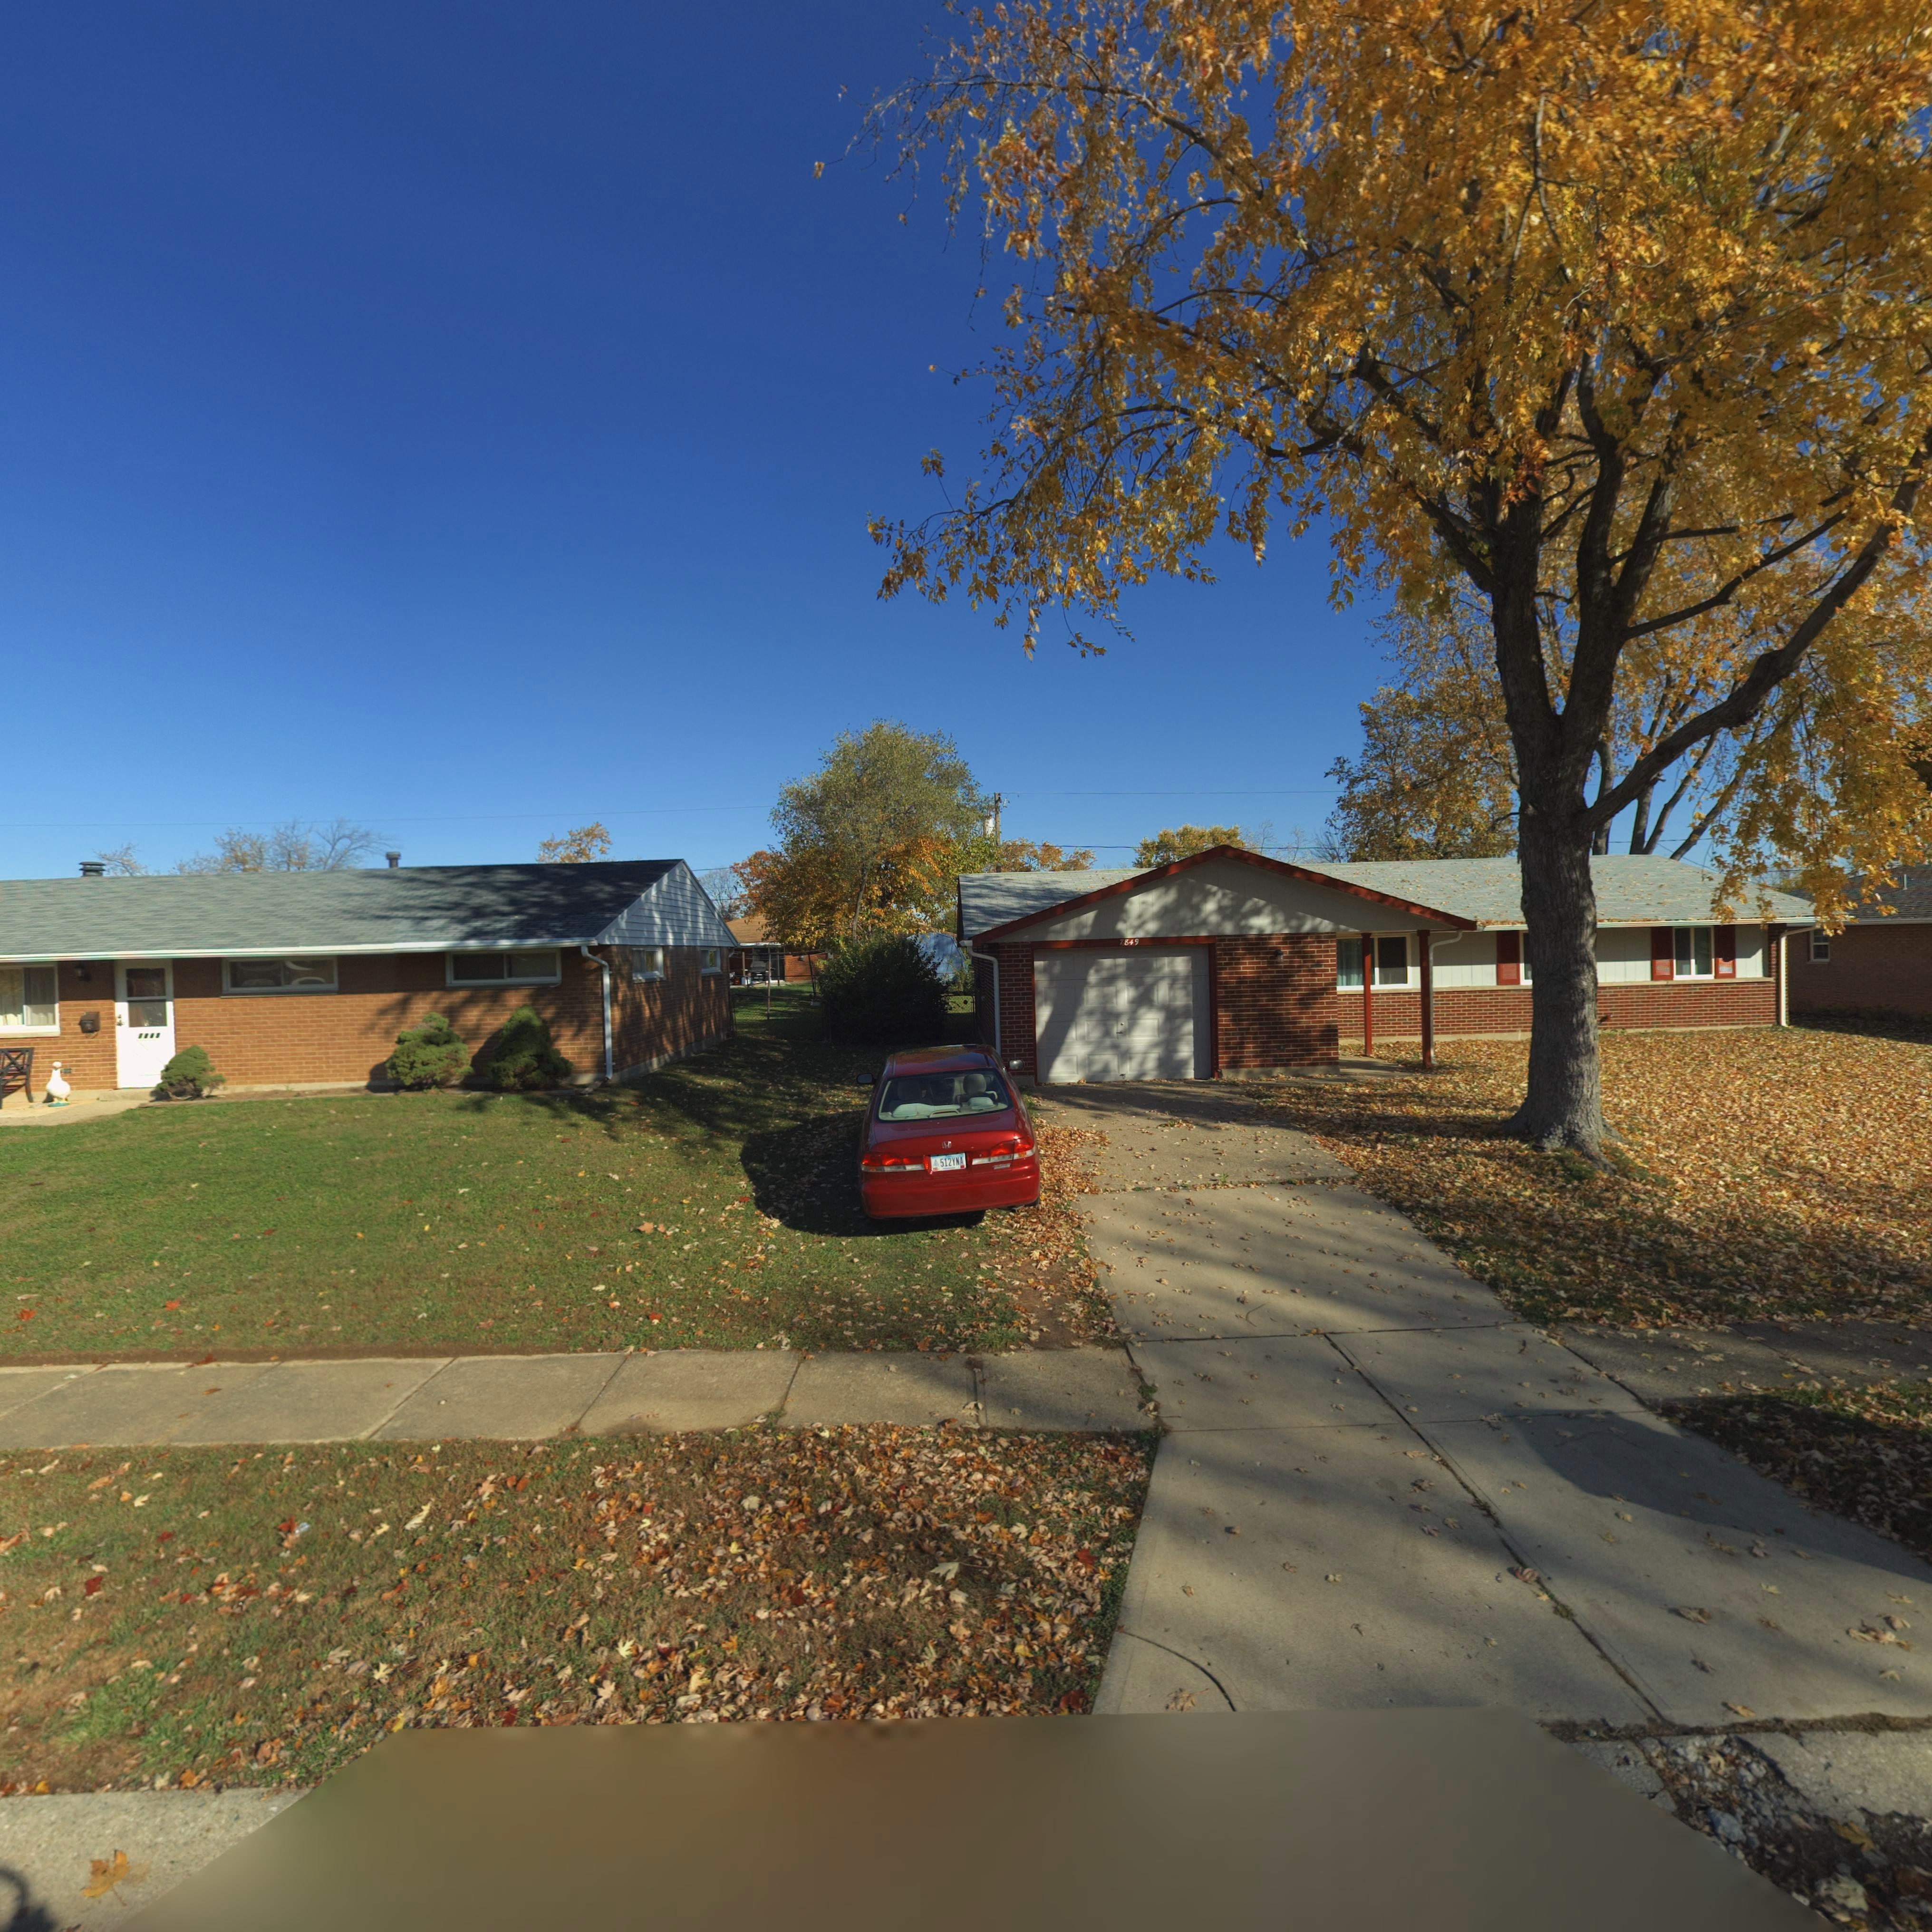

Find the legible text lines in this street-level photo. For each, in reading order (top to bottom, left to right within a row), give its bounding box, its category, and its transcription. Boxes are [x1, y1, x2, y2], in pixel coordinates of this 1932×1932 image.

[1119, 938, 1140, 946] StreetNumber: 7849